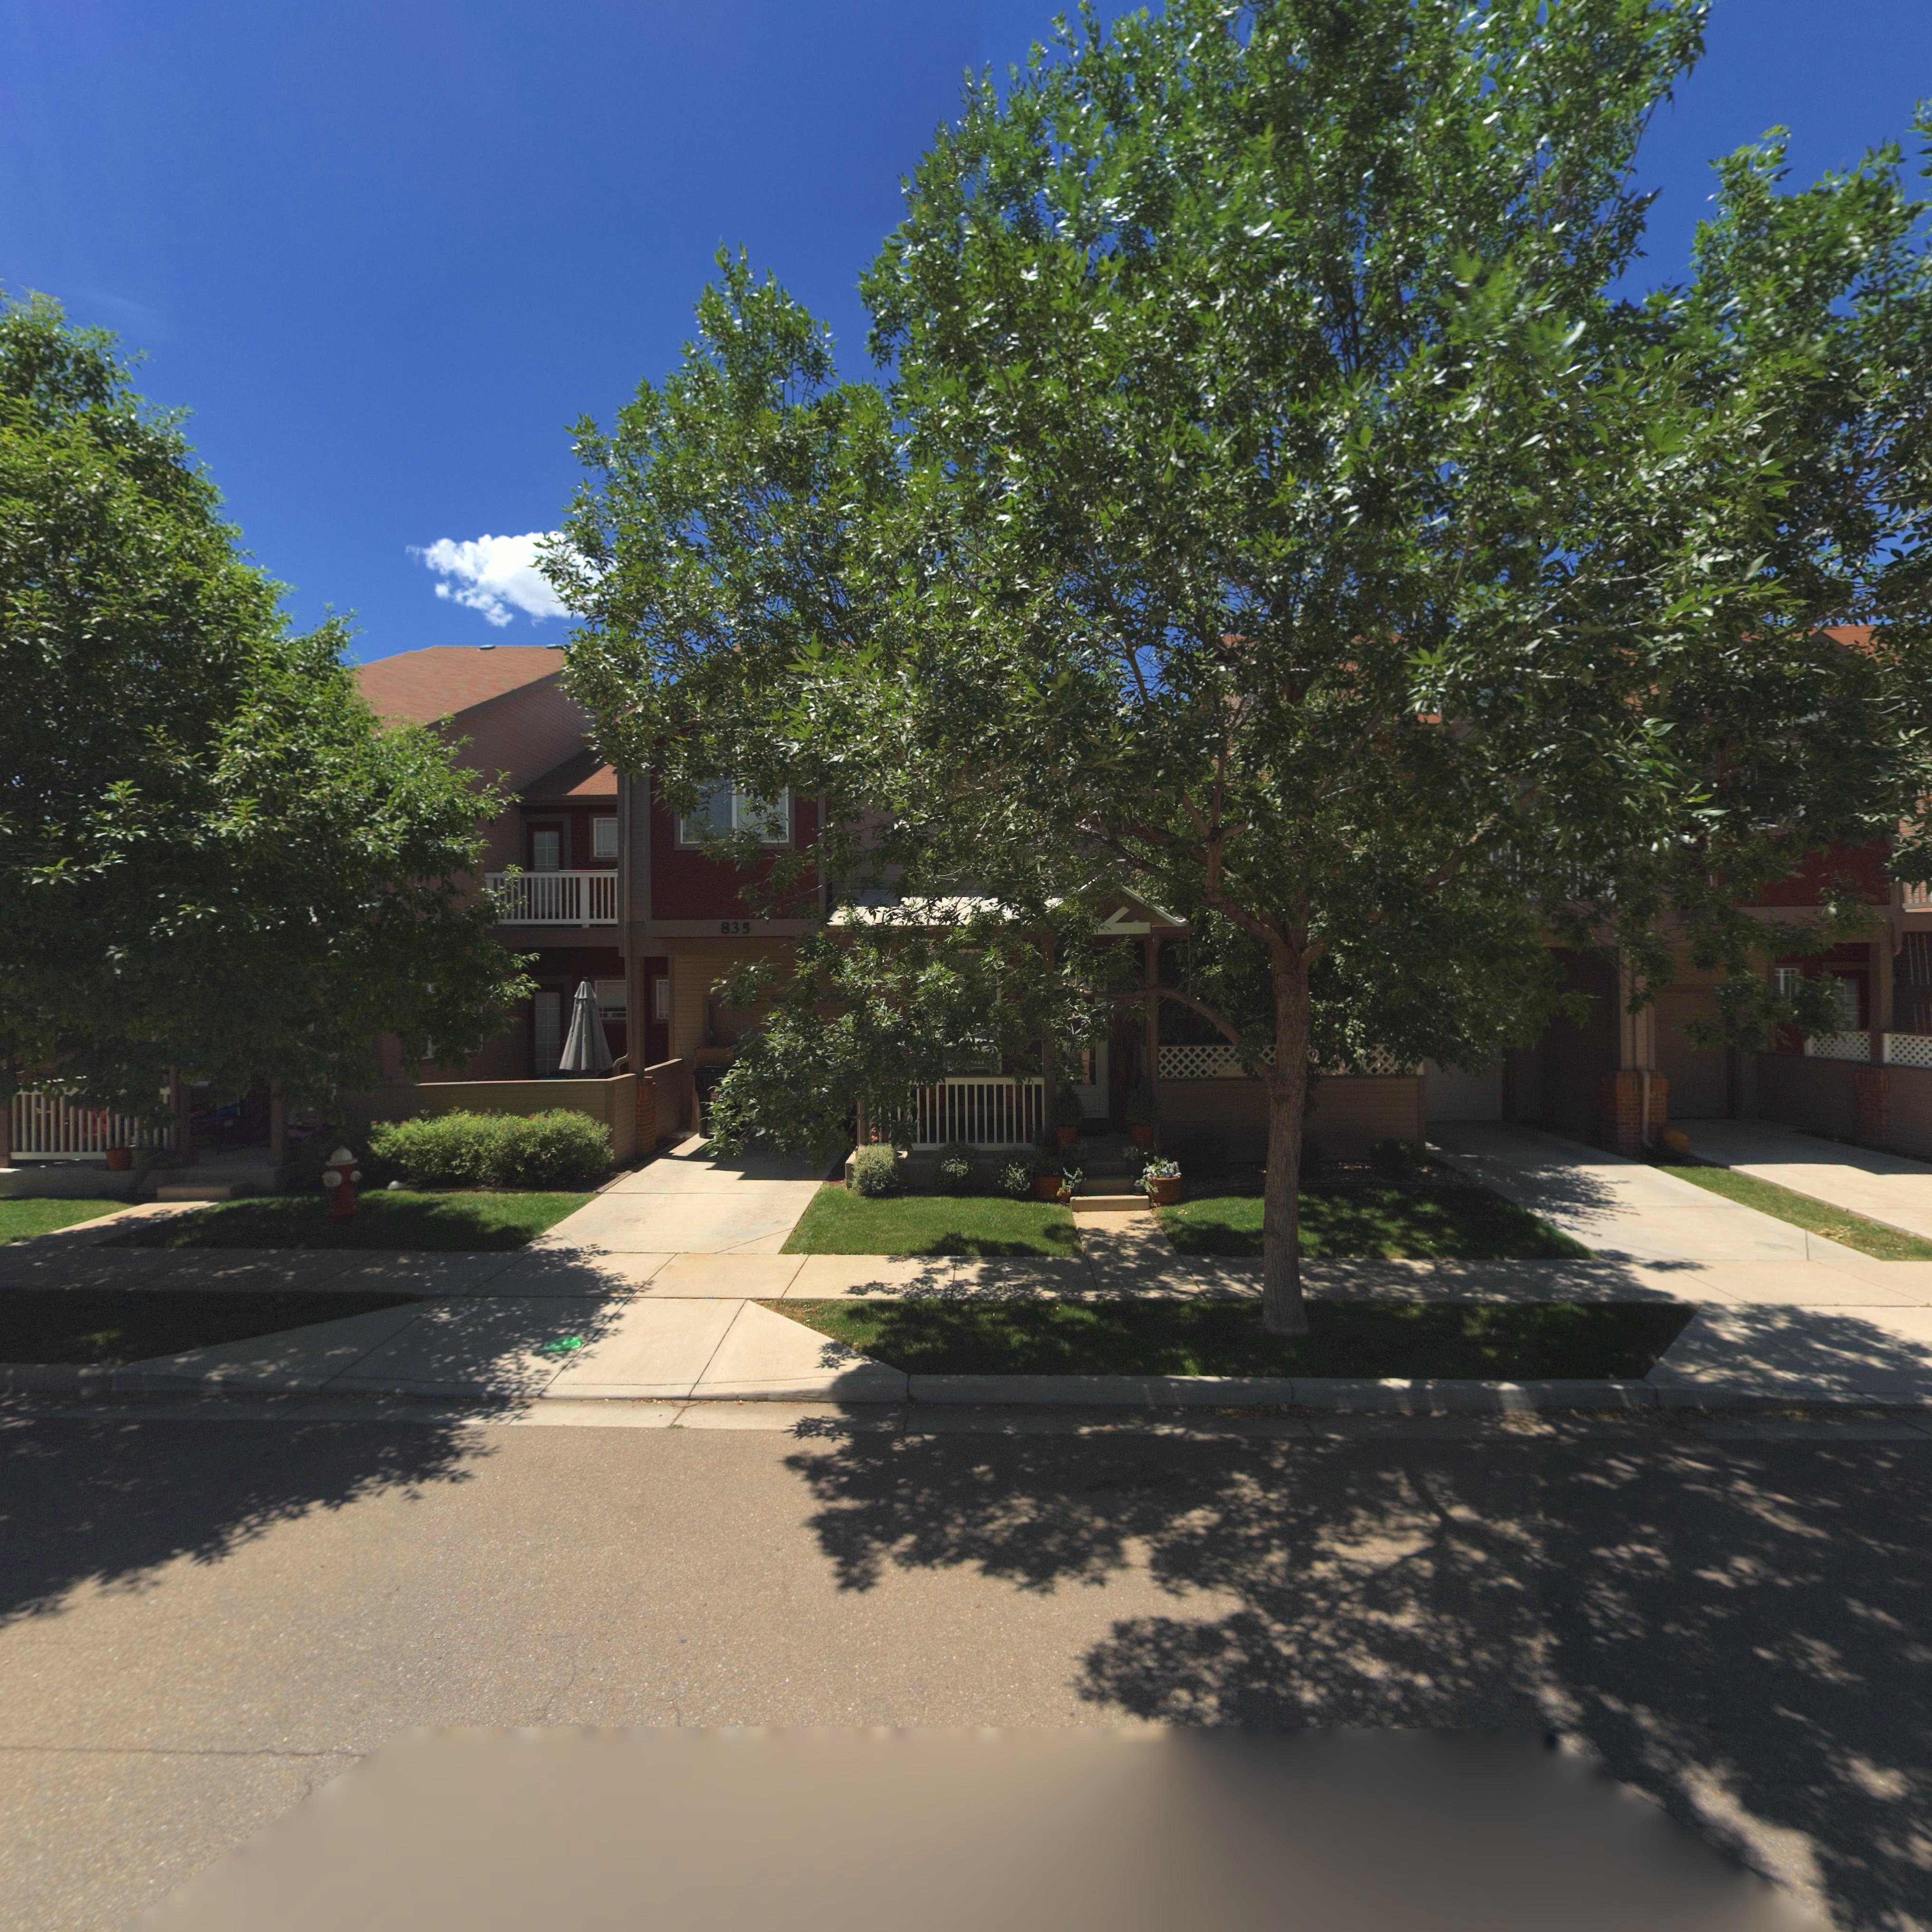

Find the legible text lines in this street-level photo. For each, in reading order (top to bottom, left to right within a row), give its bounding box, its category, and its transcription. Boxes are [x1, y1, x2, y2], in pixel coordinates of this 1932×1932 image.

[721, 921, 750, 934] StreetNumber: 835